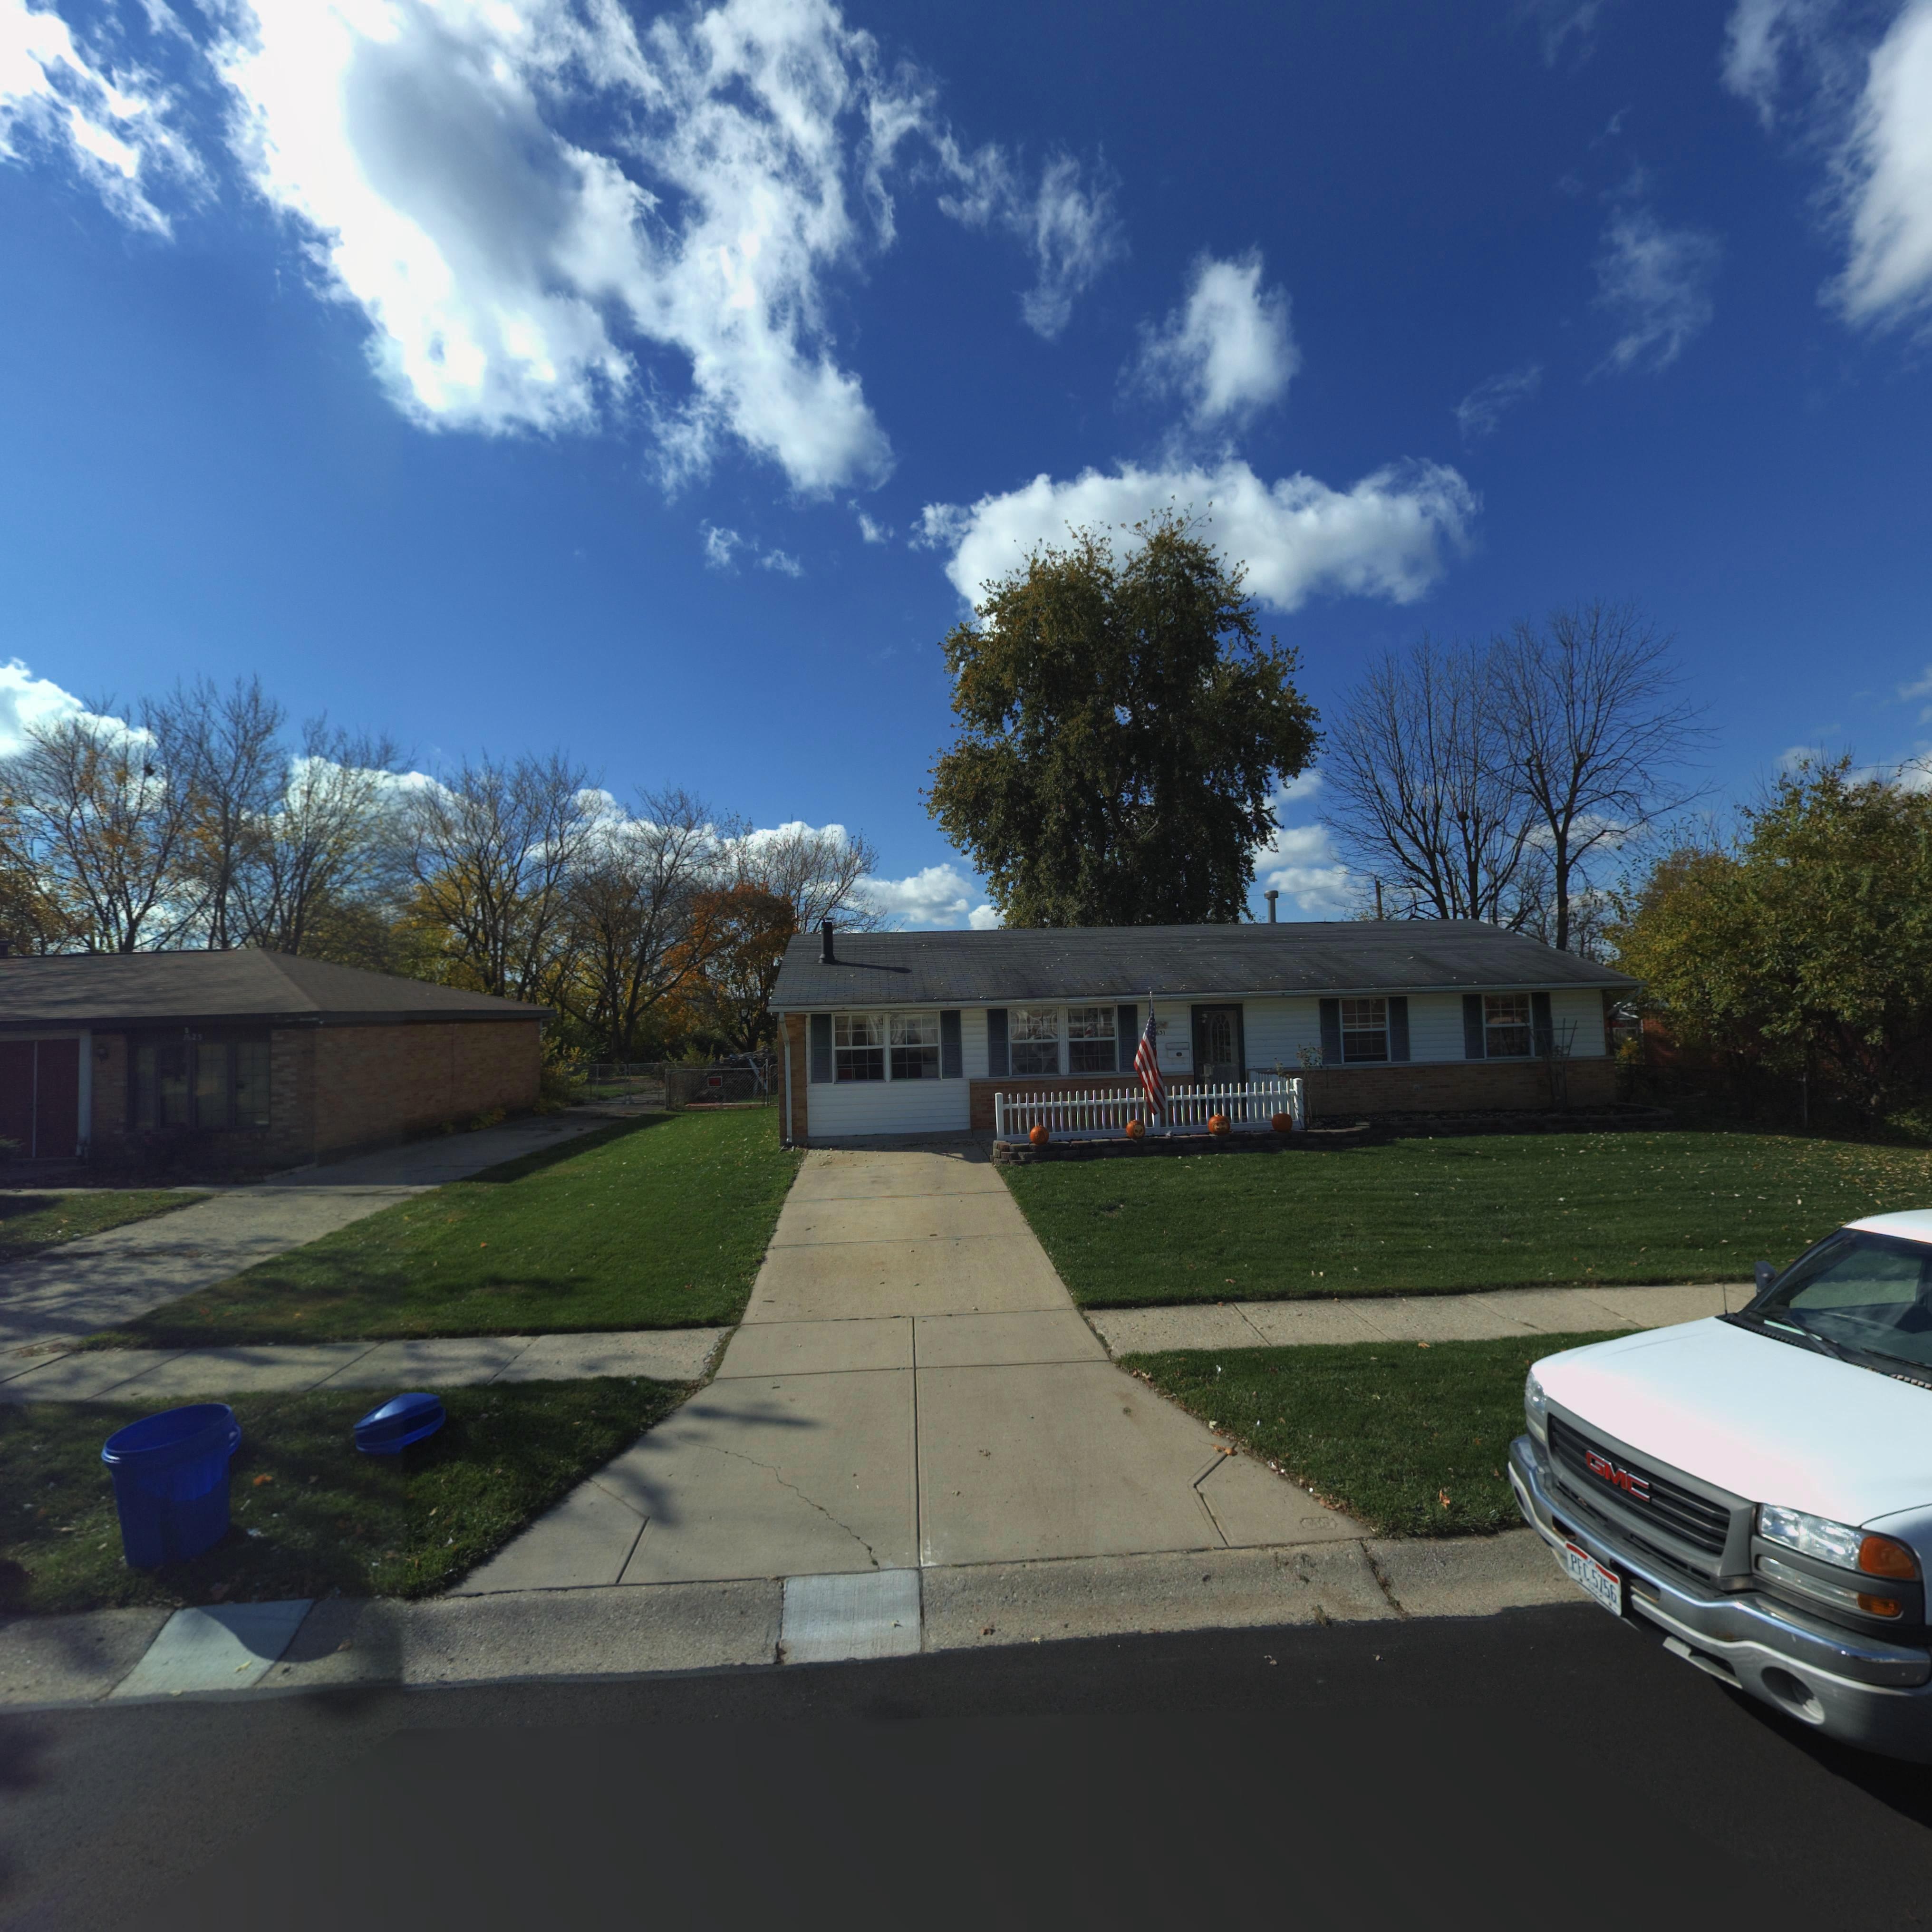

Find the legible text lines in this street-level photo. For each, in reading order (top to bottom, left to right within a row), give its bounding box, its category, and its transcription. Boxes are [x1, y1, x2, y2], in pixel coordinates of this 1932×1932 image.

[1155, 1029, 1166, 1036] StreetNumber: 631
[182, 1033, 203, 1042] StreetNumber: 7625